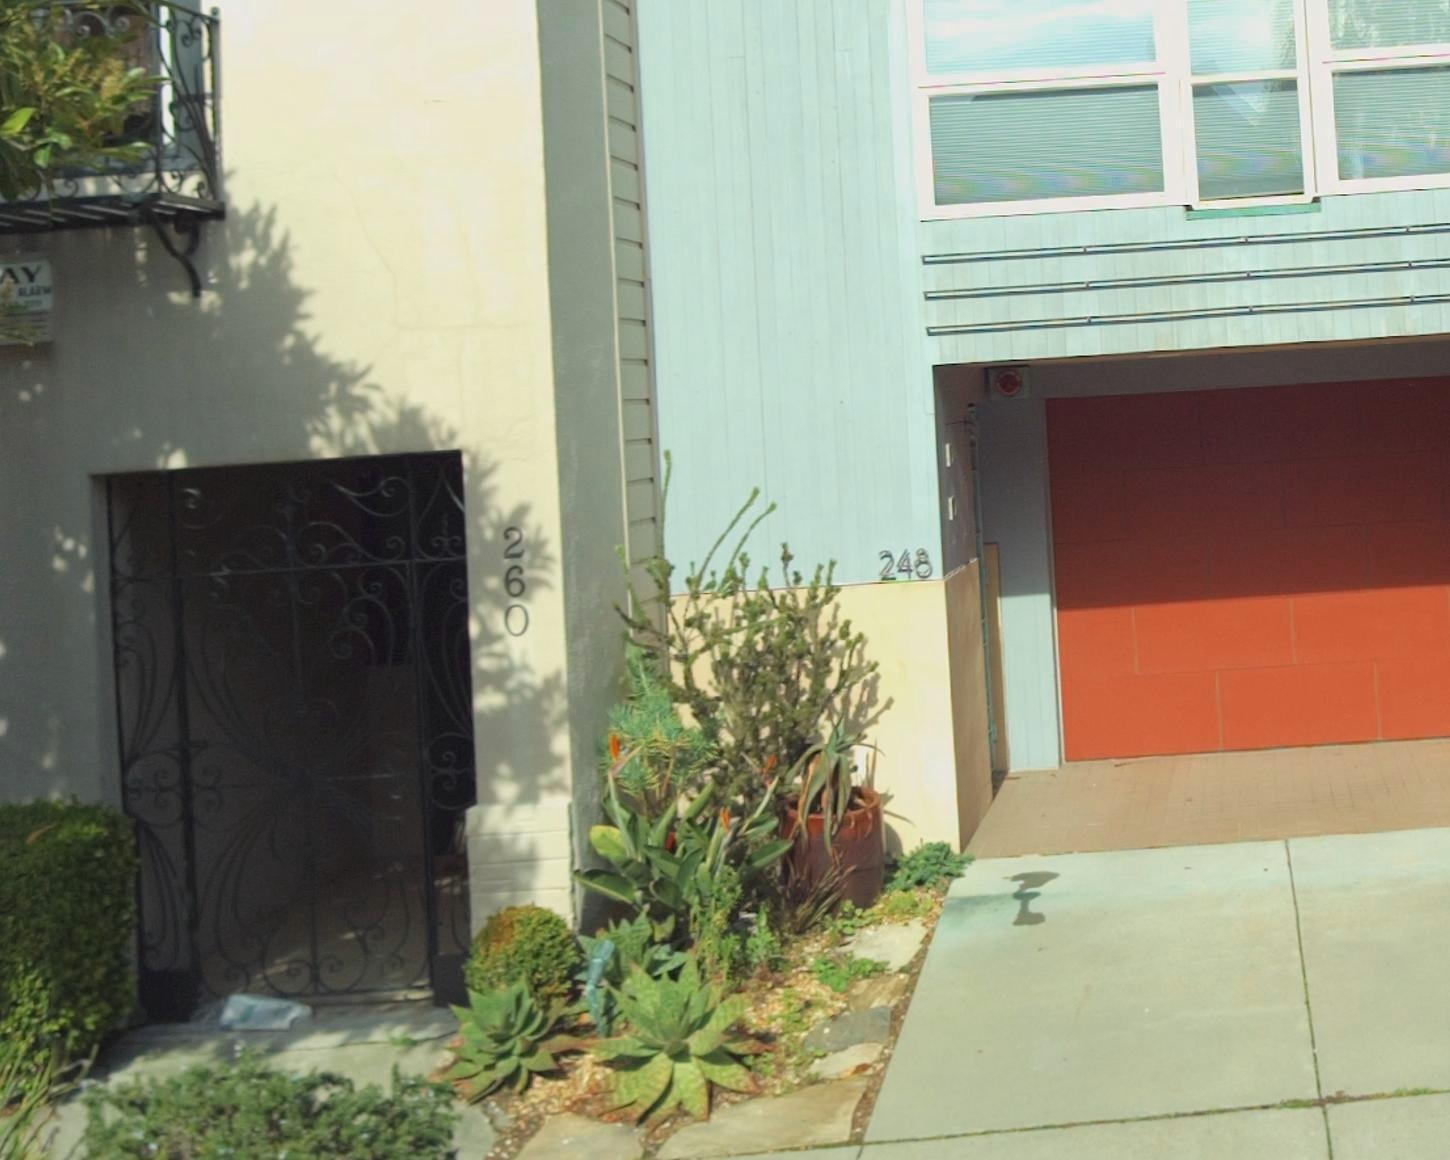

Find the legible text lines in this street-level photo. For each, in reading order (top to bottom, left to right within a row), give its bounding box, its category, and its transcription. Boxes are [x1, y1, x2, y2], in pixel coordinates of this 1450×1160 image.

[501, 525, 532, 639] StreetNumber: 260
[879, 547, 933, 581] StreetNumber: 248